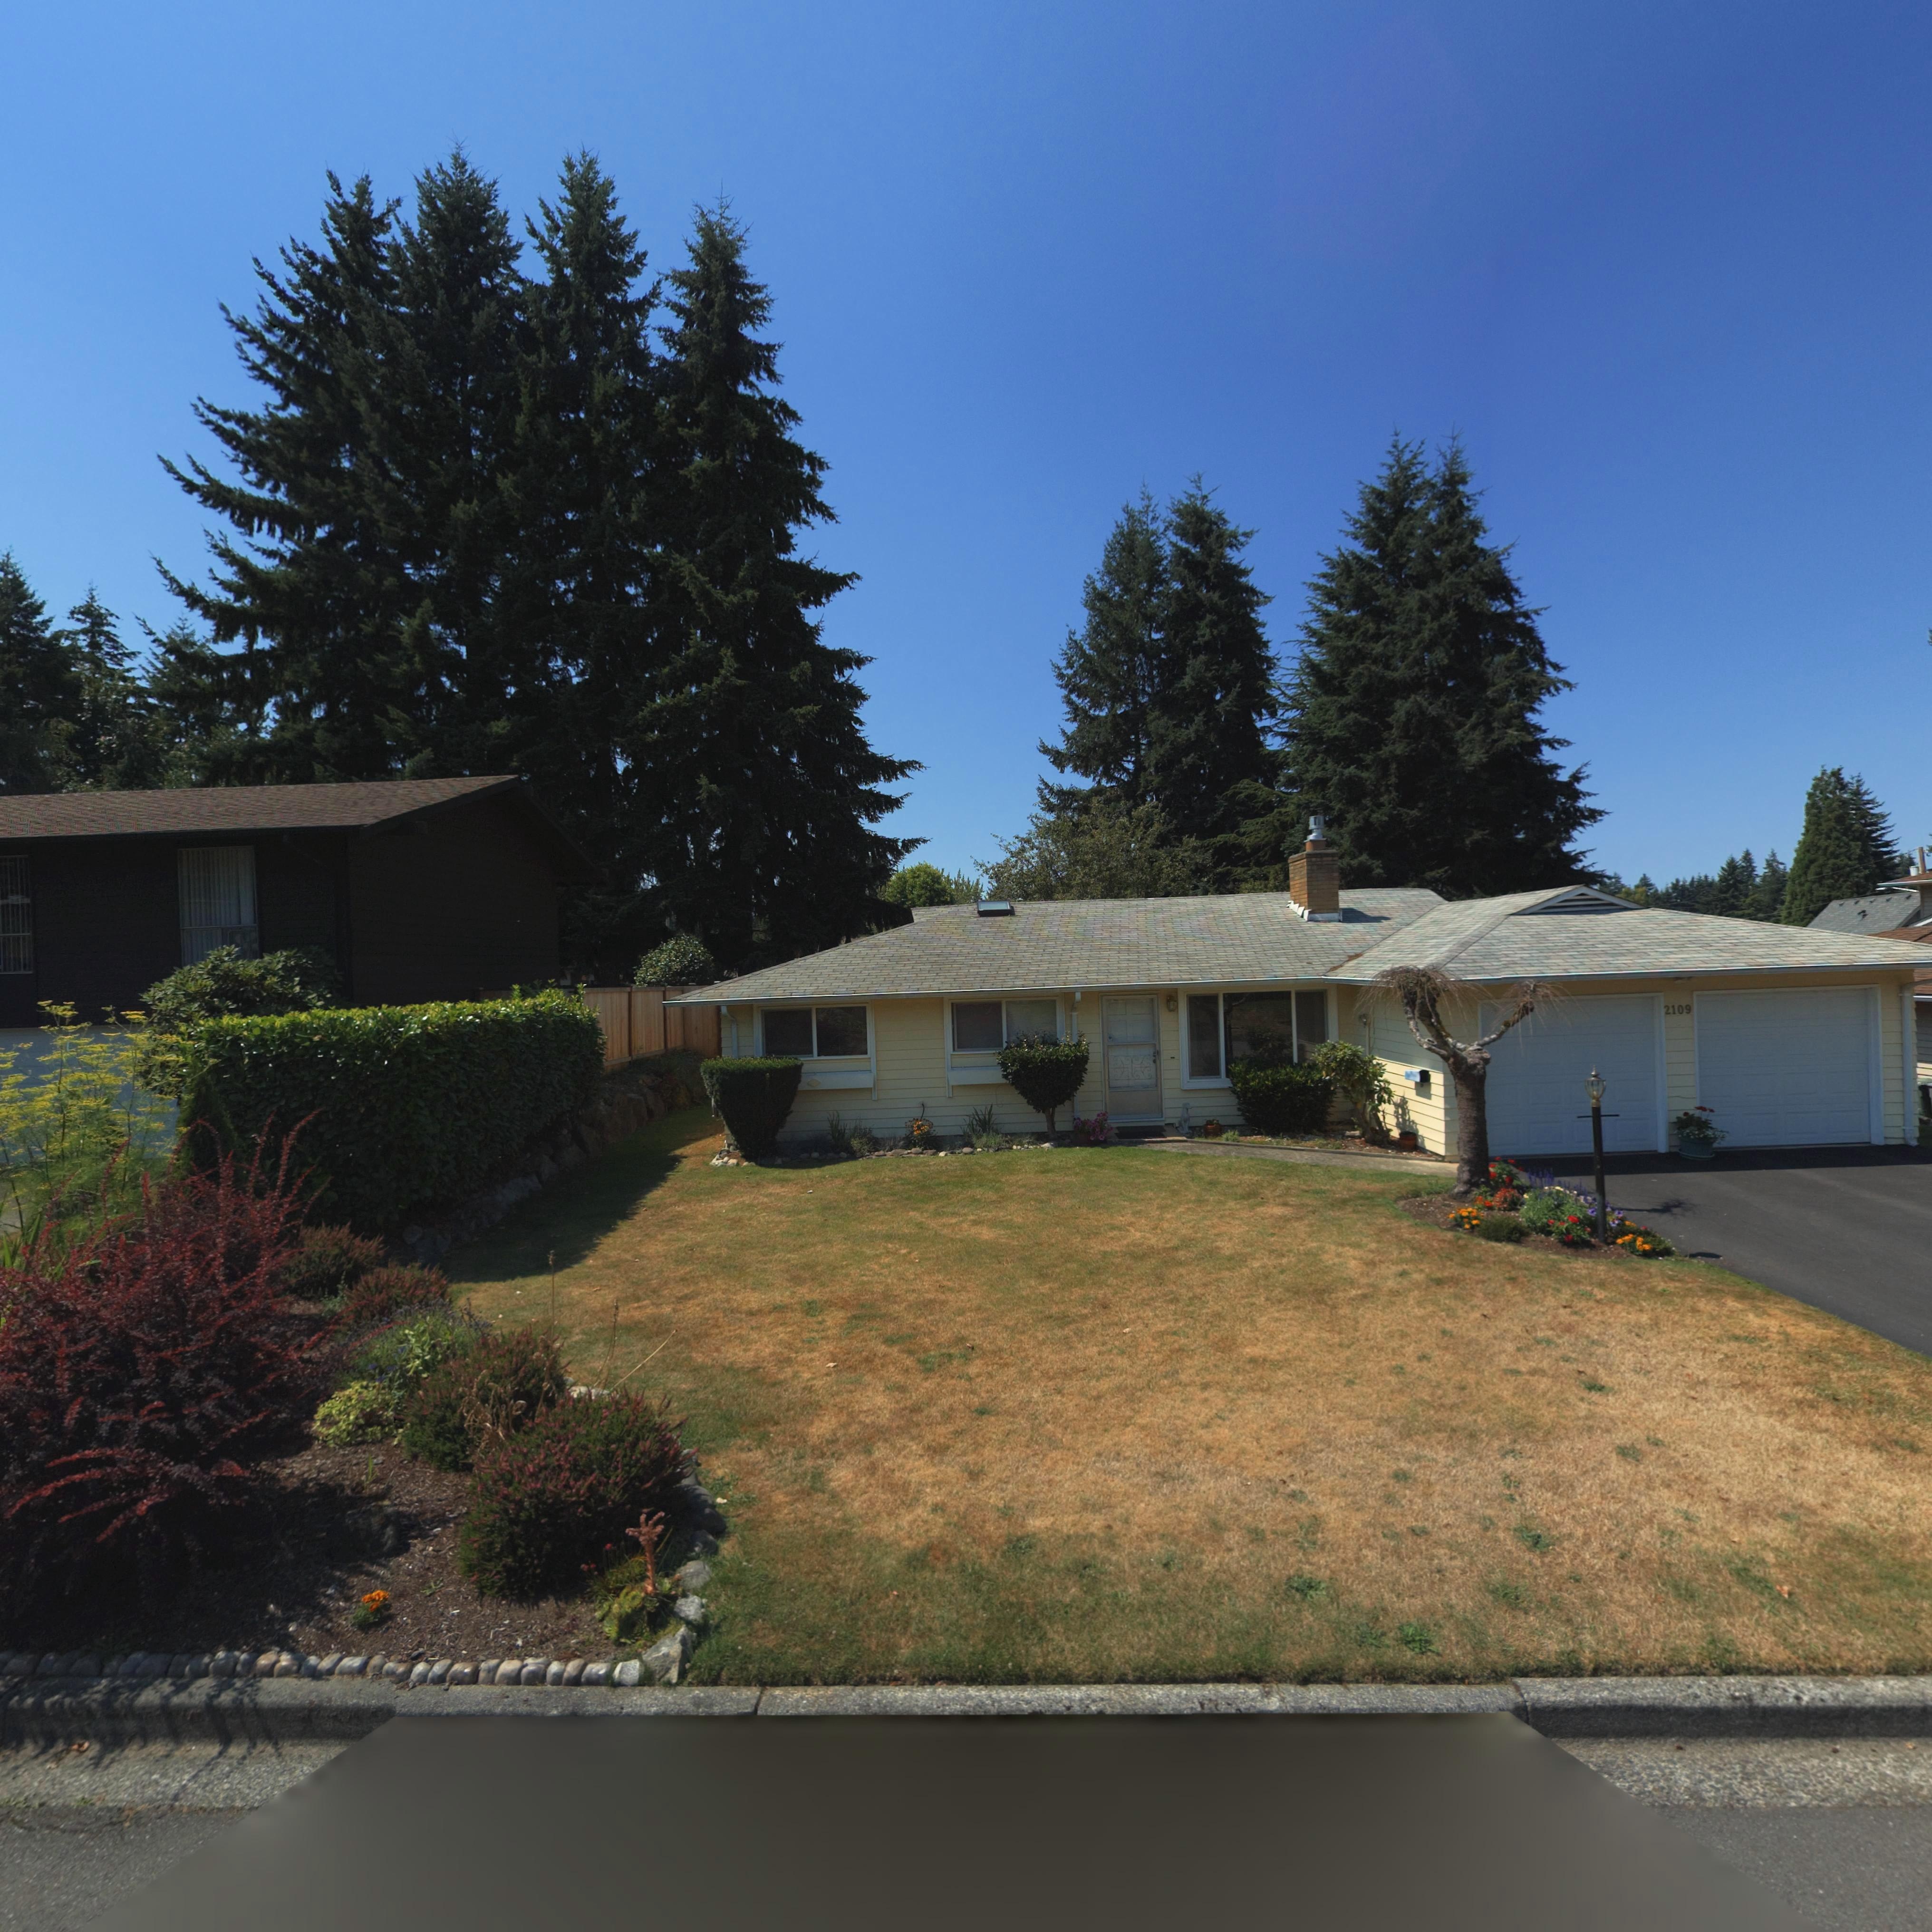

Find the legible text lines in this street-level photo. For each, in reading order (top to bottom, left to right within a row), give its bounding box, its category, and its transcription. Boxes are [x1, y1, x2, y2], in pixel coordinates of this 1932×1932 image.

[1663, 1000, 1693, 1017] StreetNumber: 2109